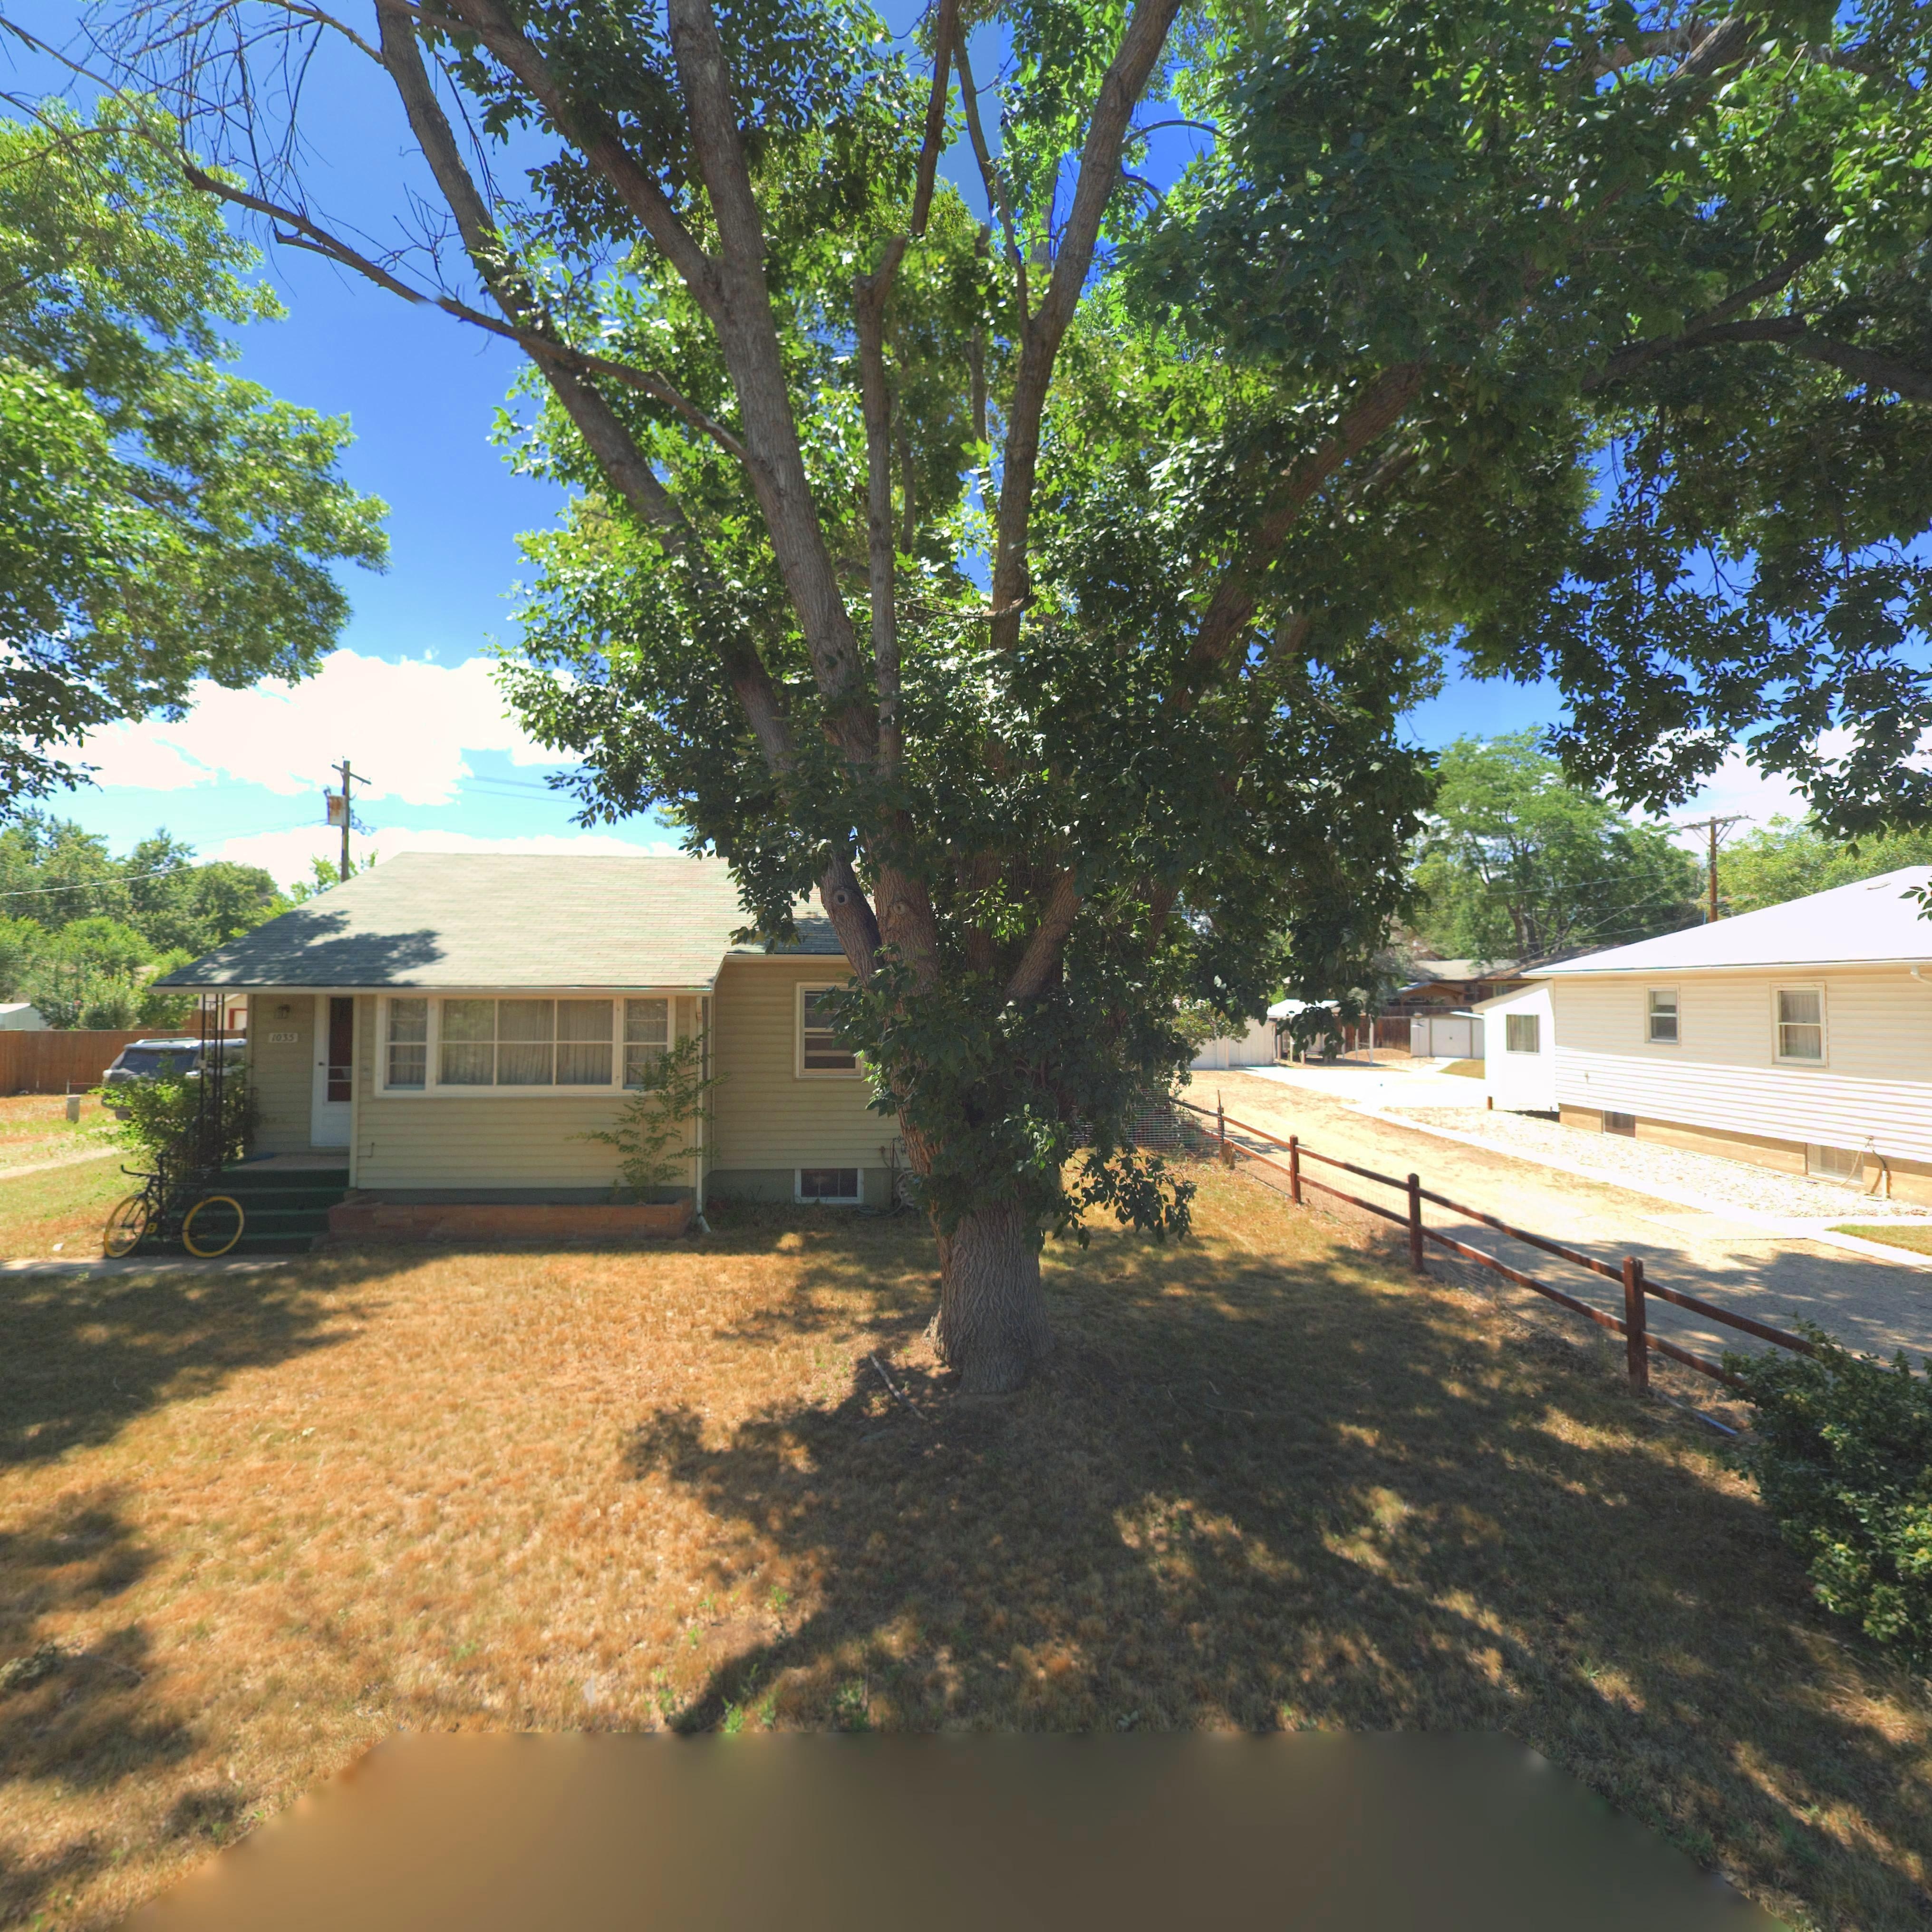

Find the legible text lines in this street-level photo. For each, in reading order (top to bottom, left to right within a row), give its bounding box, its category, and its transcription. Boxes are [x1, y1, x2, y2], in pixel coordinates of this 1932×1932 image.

[271, 1033, 295, 1042] StreetNumber: 1035